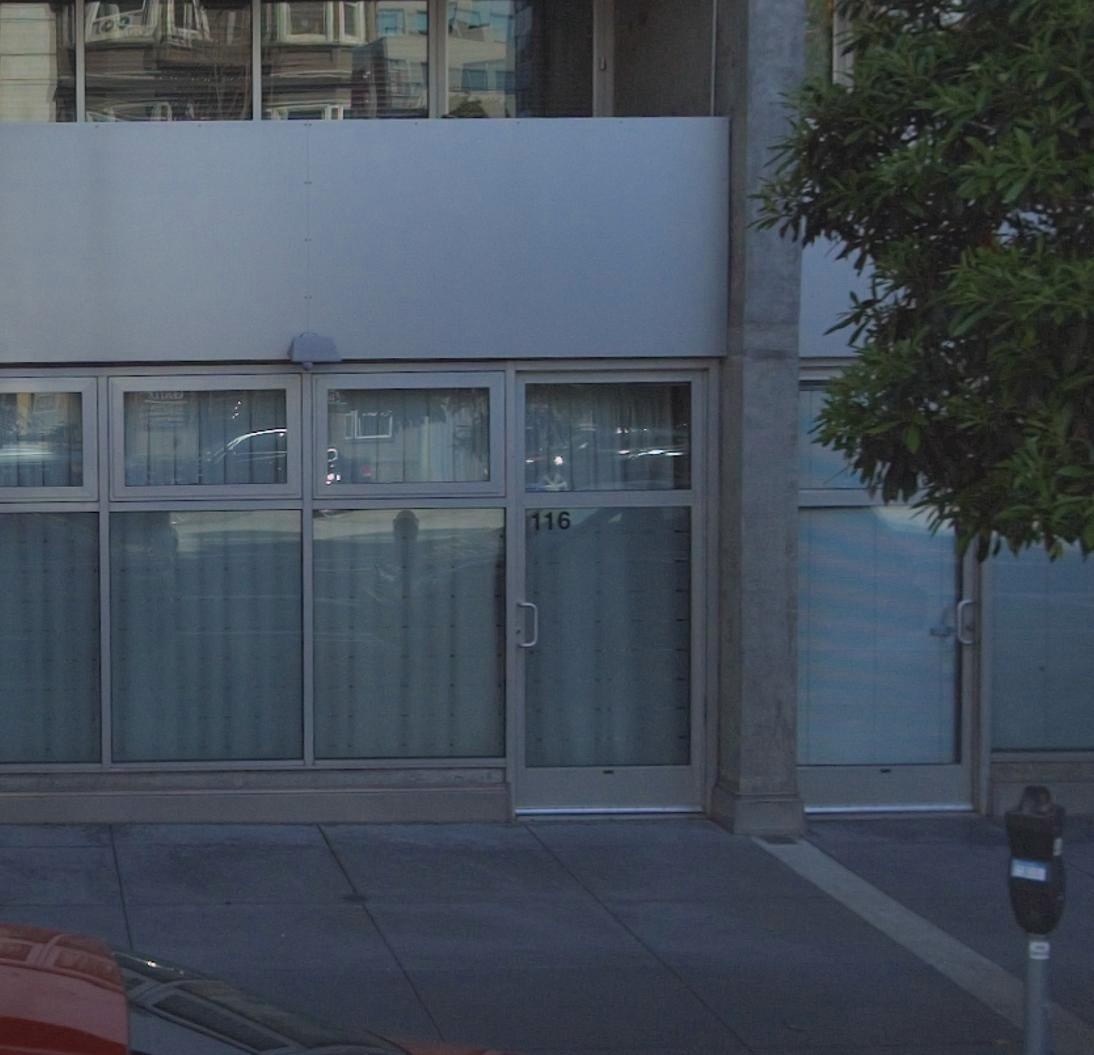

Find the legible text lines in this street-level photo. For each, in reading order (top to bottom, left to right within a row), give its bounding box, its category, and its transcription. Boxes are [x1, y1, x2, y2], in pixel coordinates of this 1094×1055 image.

[532, 510, 572, 532] StreetNumber: 116